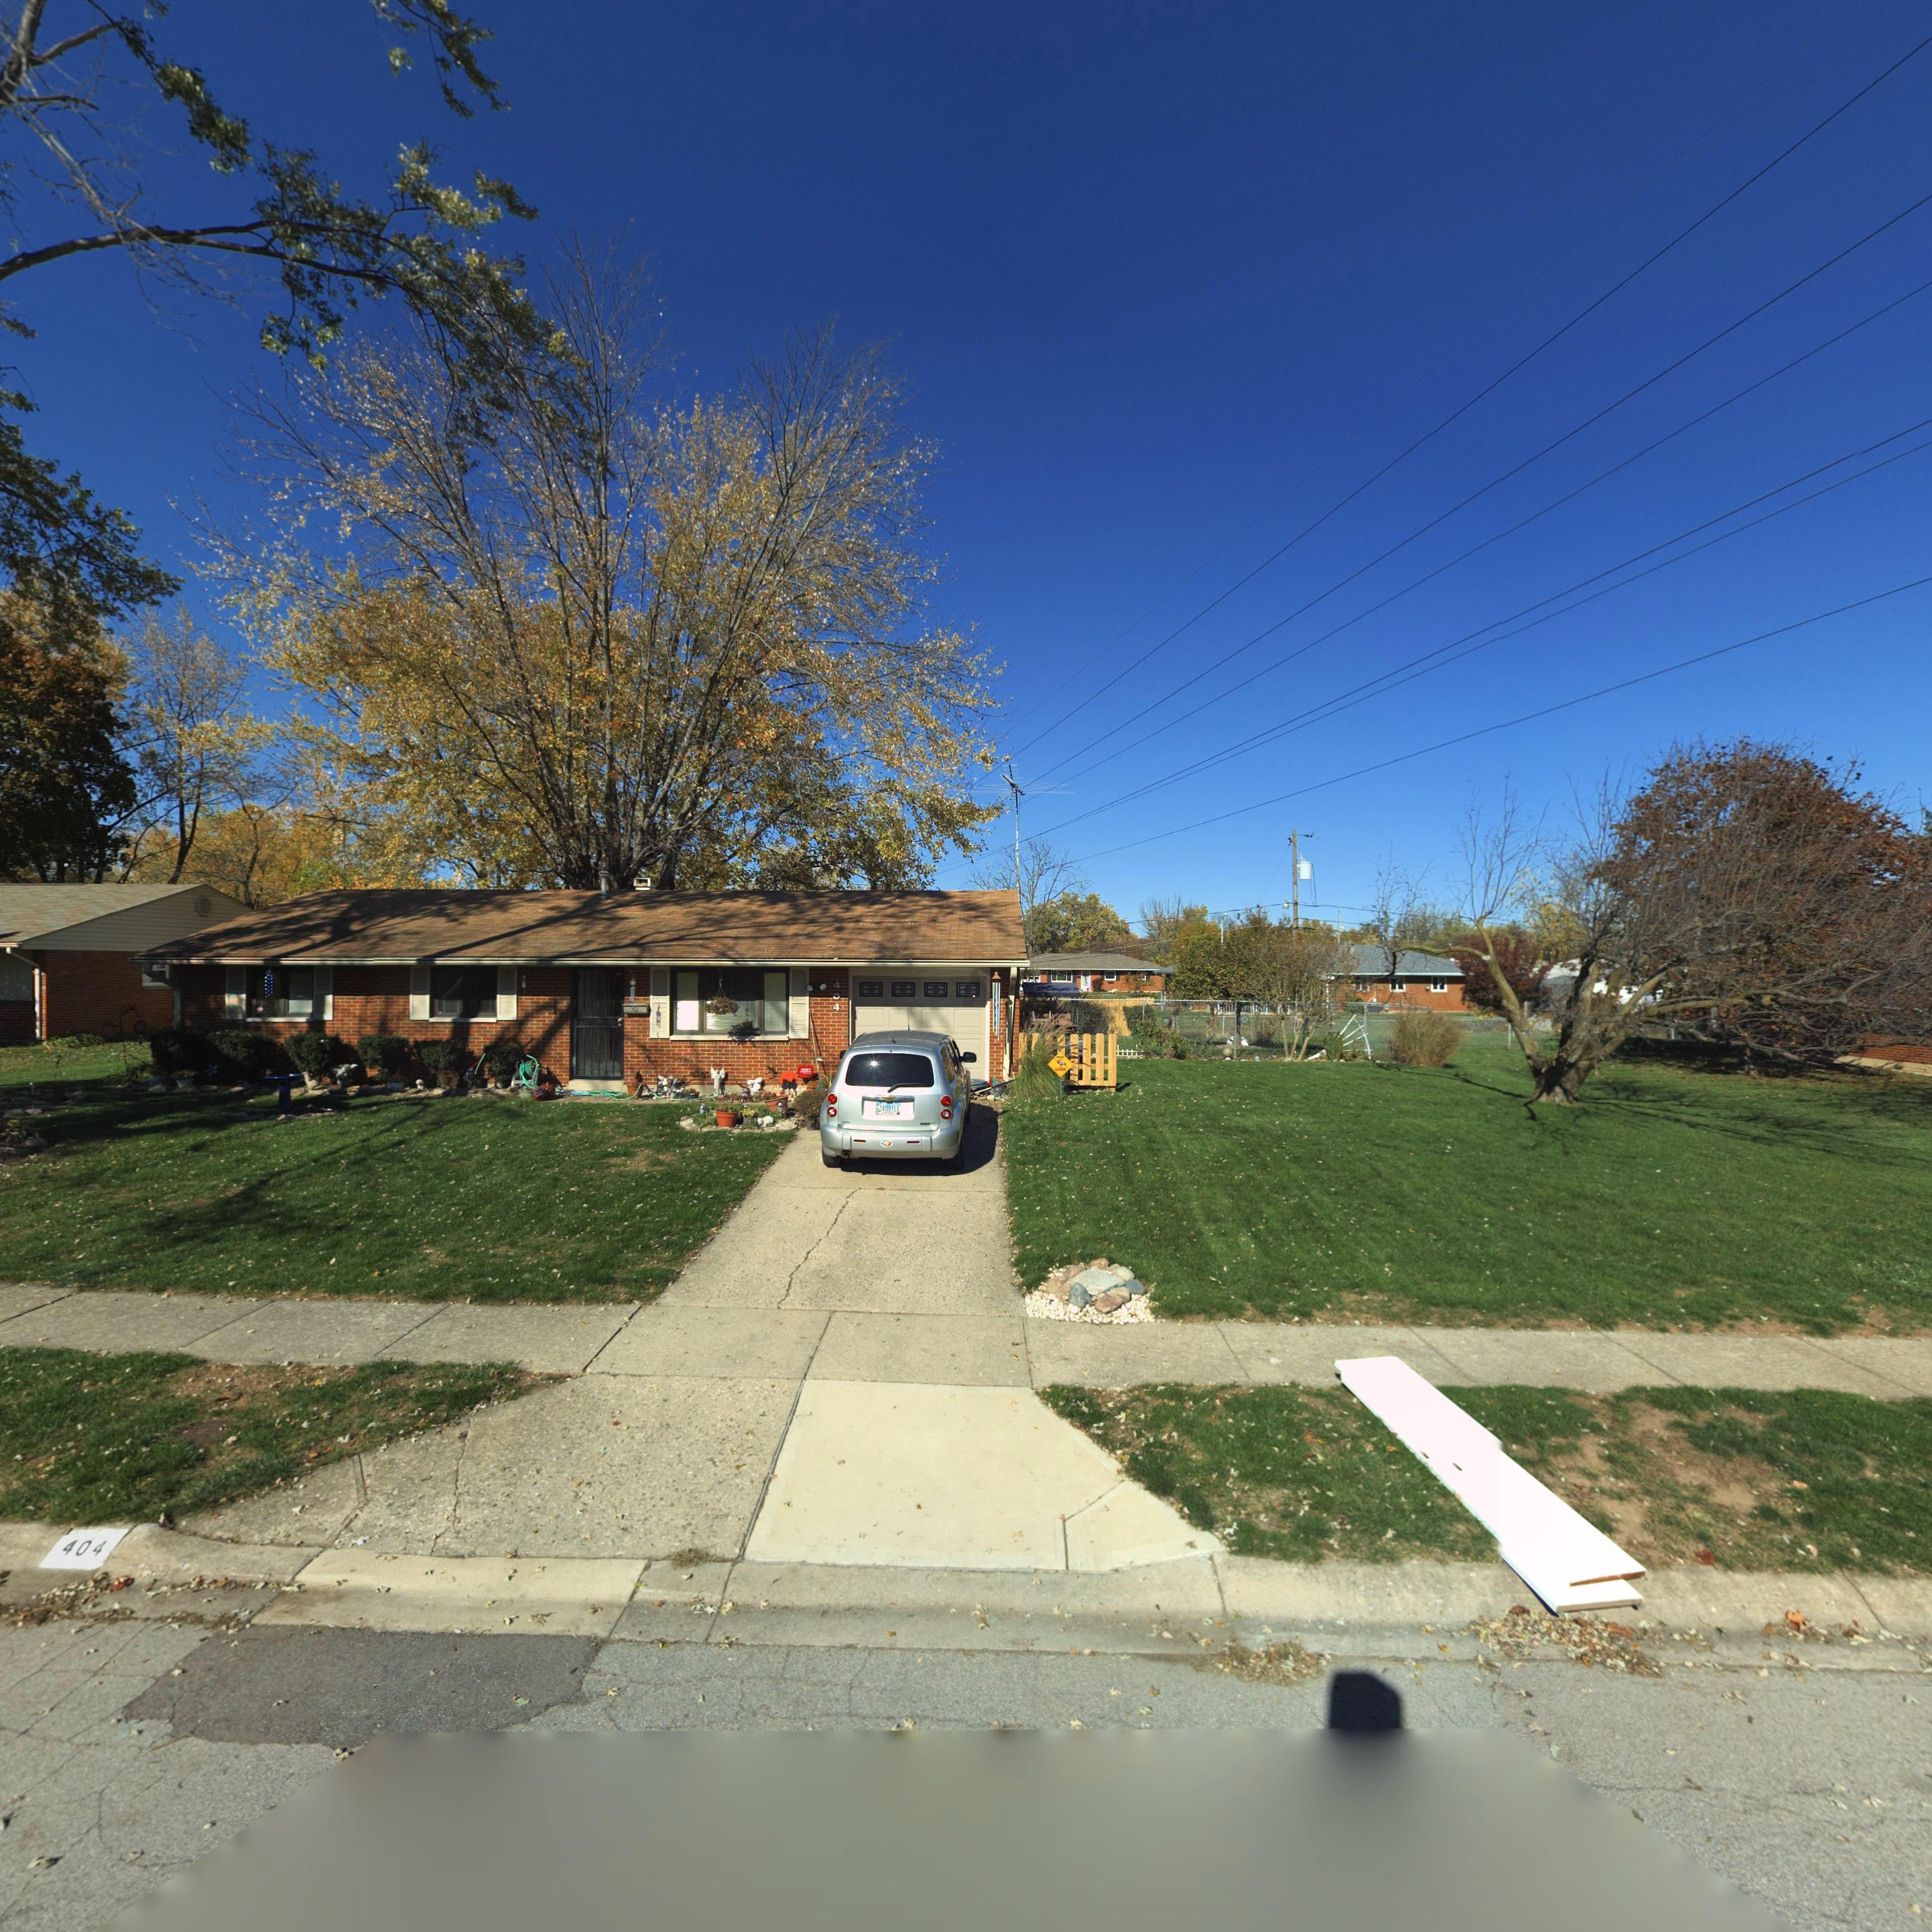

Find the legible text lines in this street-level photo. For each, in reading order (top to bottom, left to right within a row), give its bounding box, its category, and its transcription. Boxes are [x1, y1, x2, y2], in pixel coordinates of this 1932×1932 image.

[832, 980, 841, 1012] StreetNumber: 404
[61, 1538, 109, 1557] StreetNumber: 404